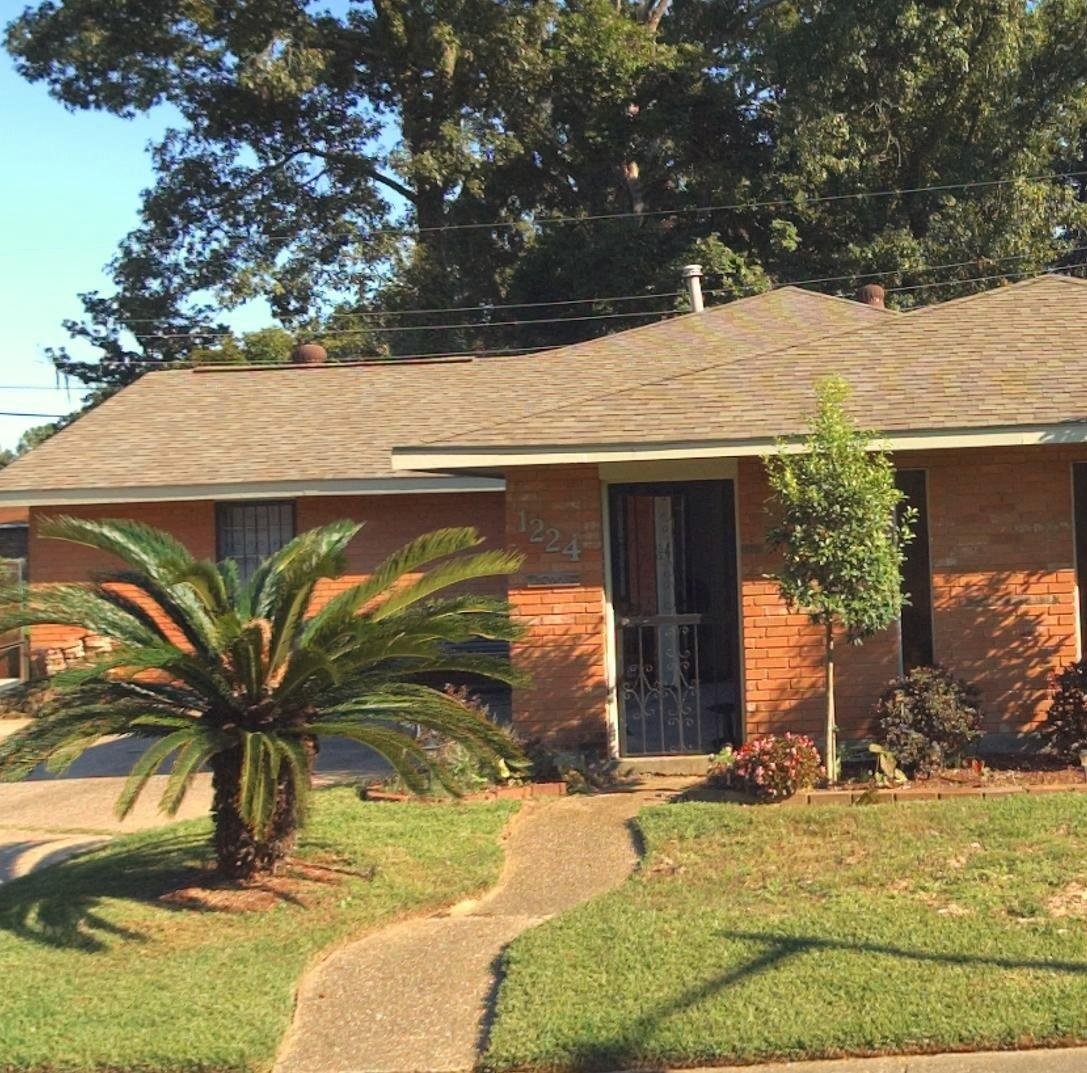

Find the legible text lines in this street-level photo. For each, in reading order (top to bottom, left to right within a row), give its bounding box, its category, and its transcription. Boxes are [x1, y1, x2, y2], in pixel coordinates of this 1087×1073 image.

[516, 505, 584, 566] StreetNumber: 1224